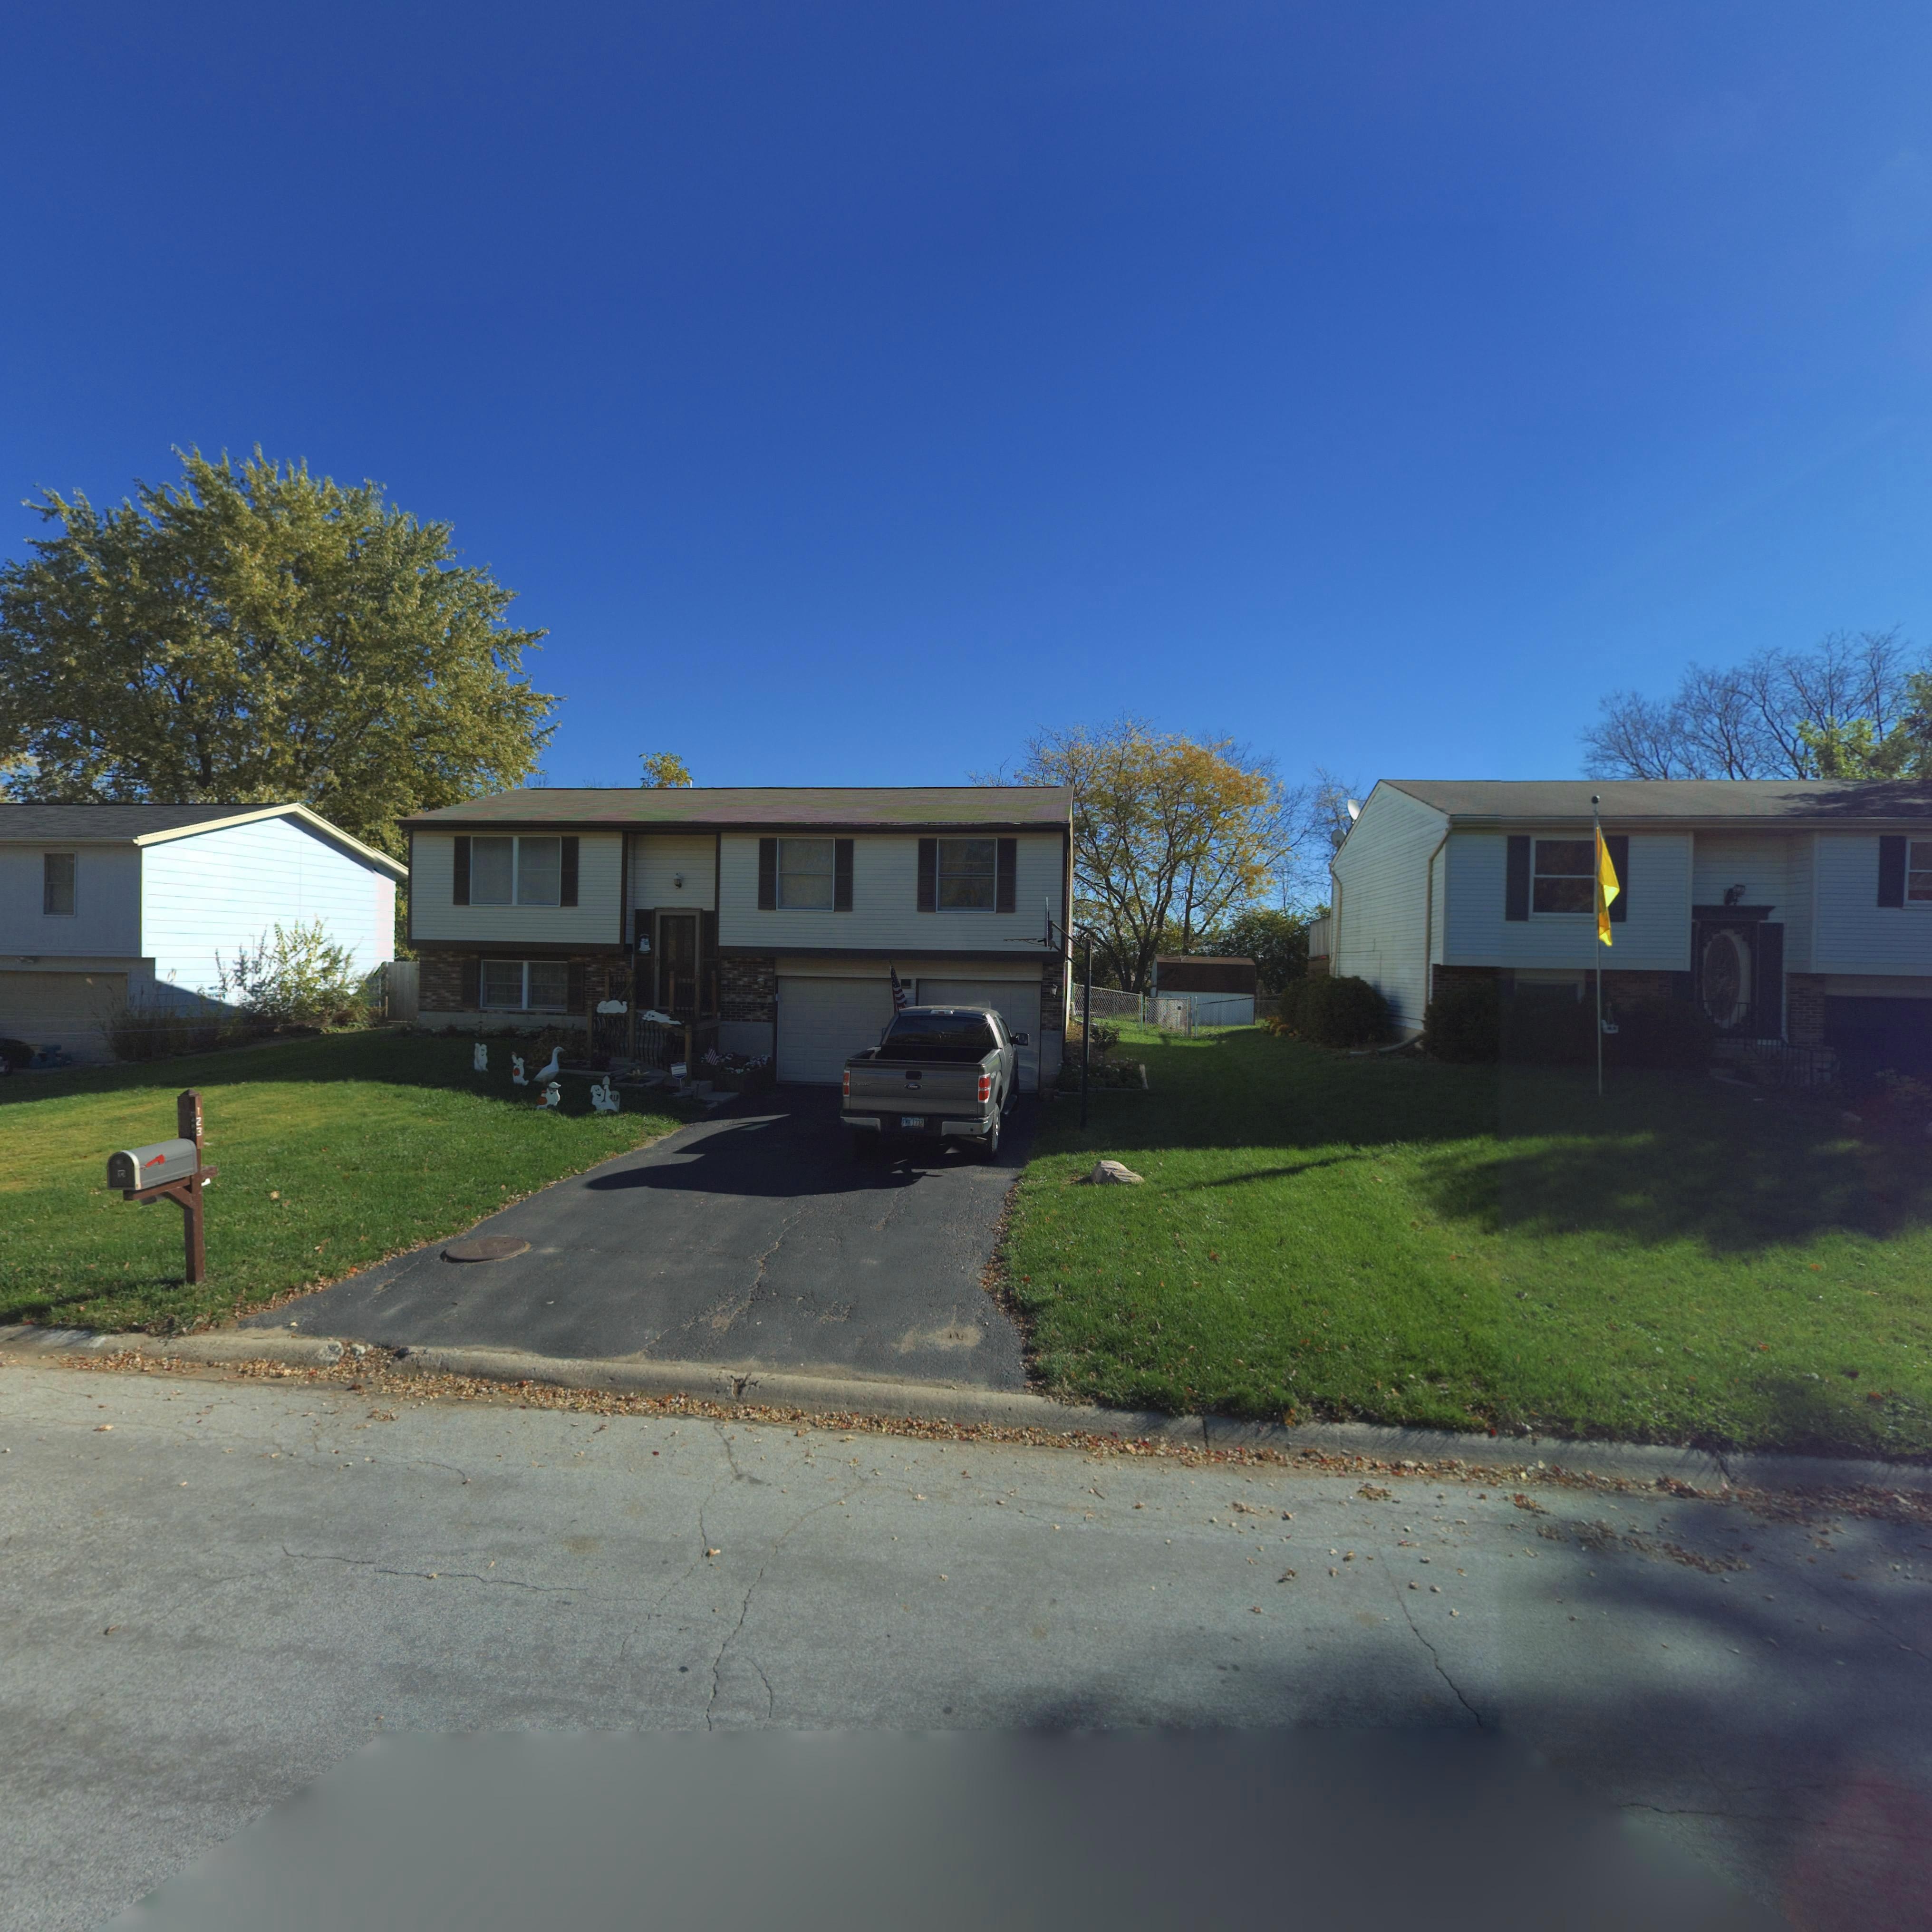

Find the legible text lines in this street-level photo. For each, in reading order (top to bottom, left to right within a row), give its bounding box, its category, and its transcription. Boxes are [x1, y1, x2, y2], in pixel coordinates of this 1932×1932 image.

[195, 1106, 202, 1137] StreetNumber: 123